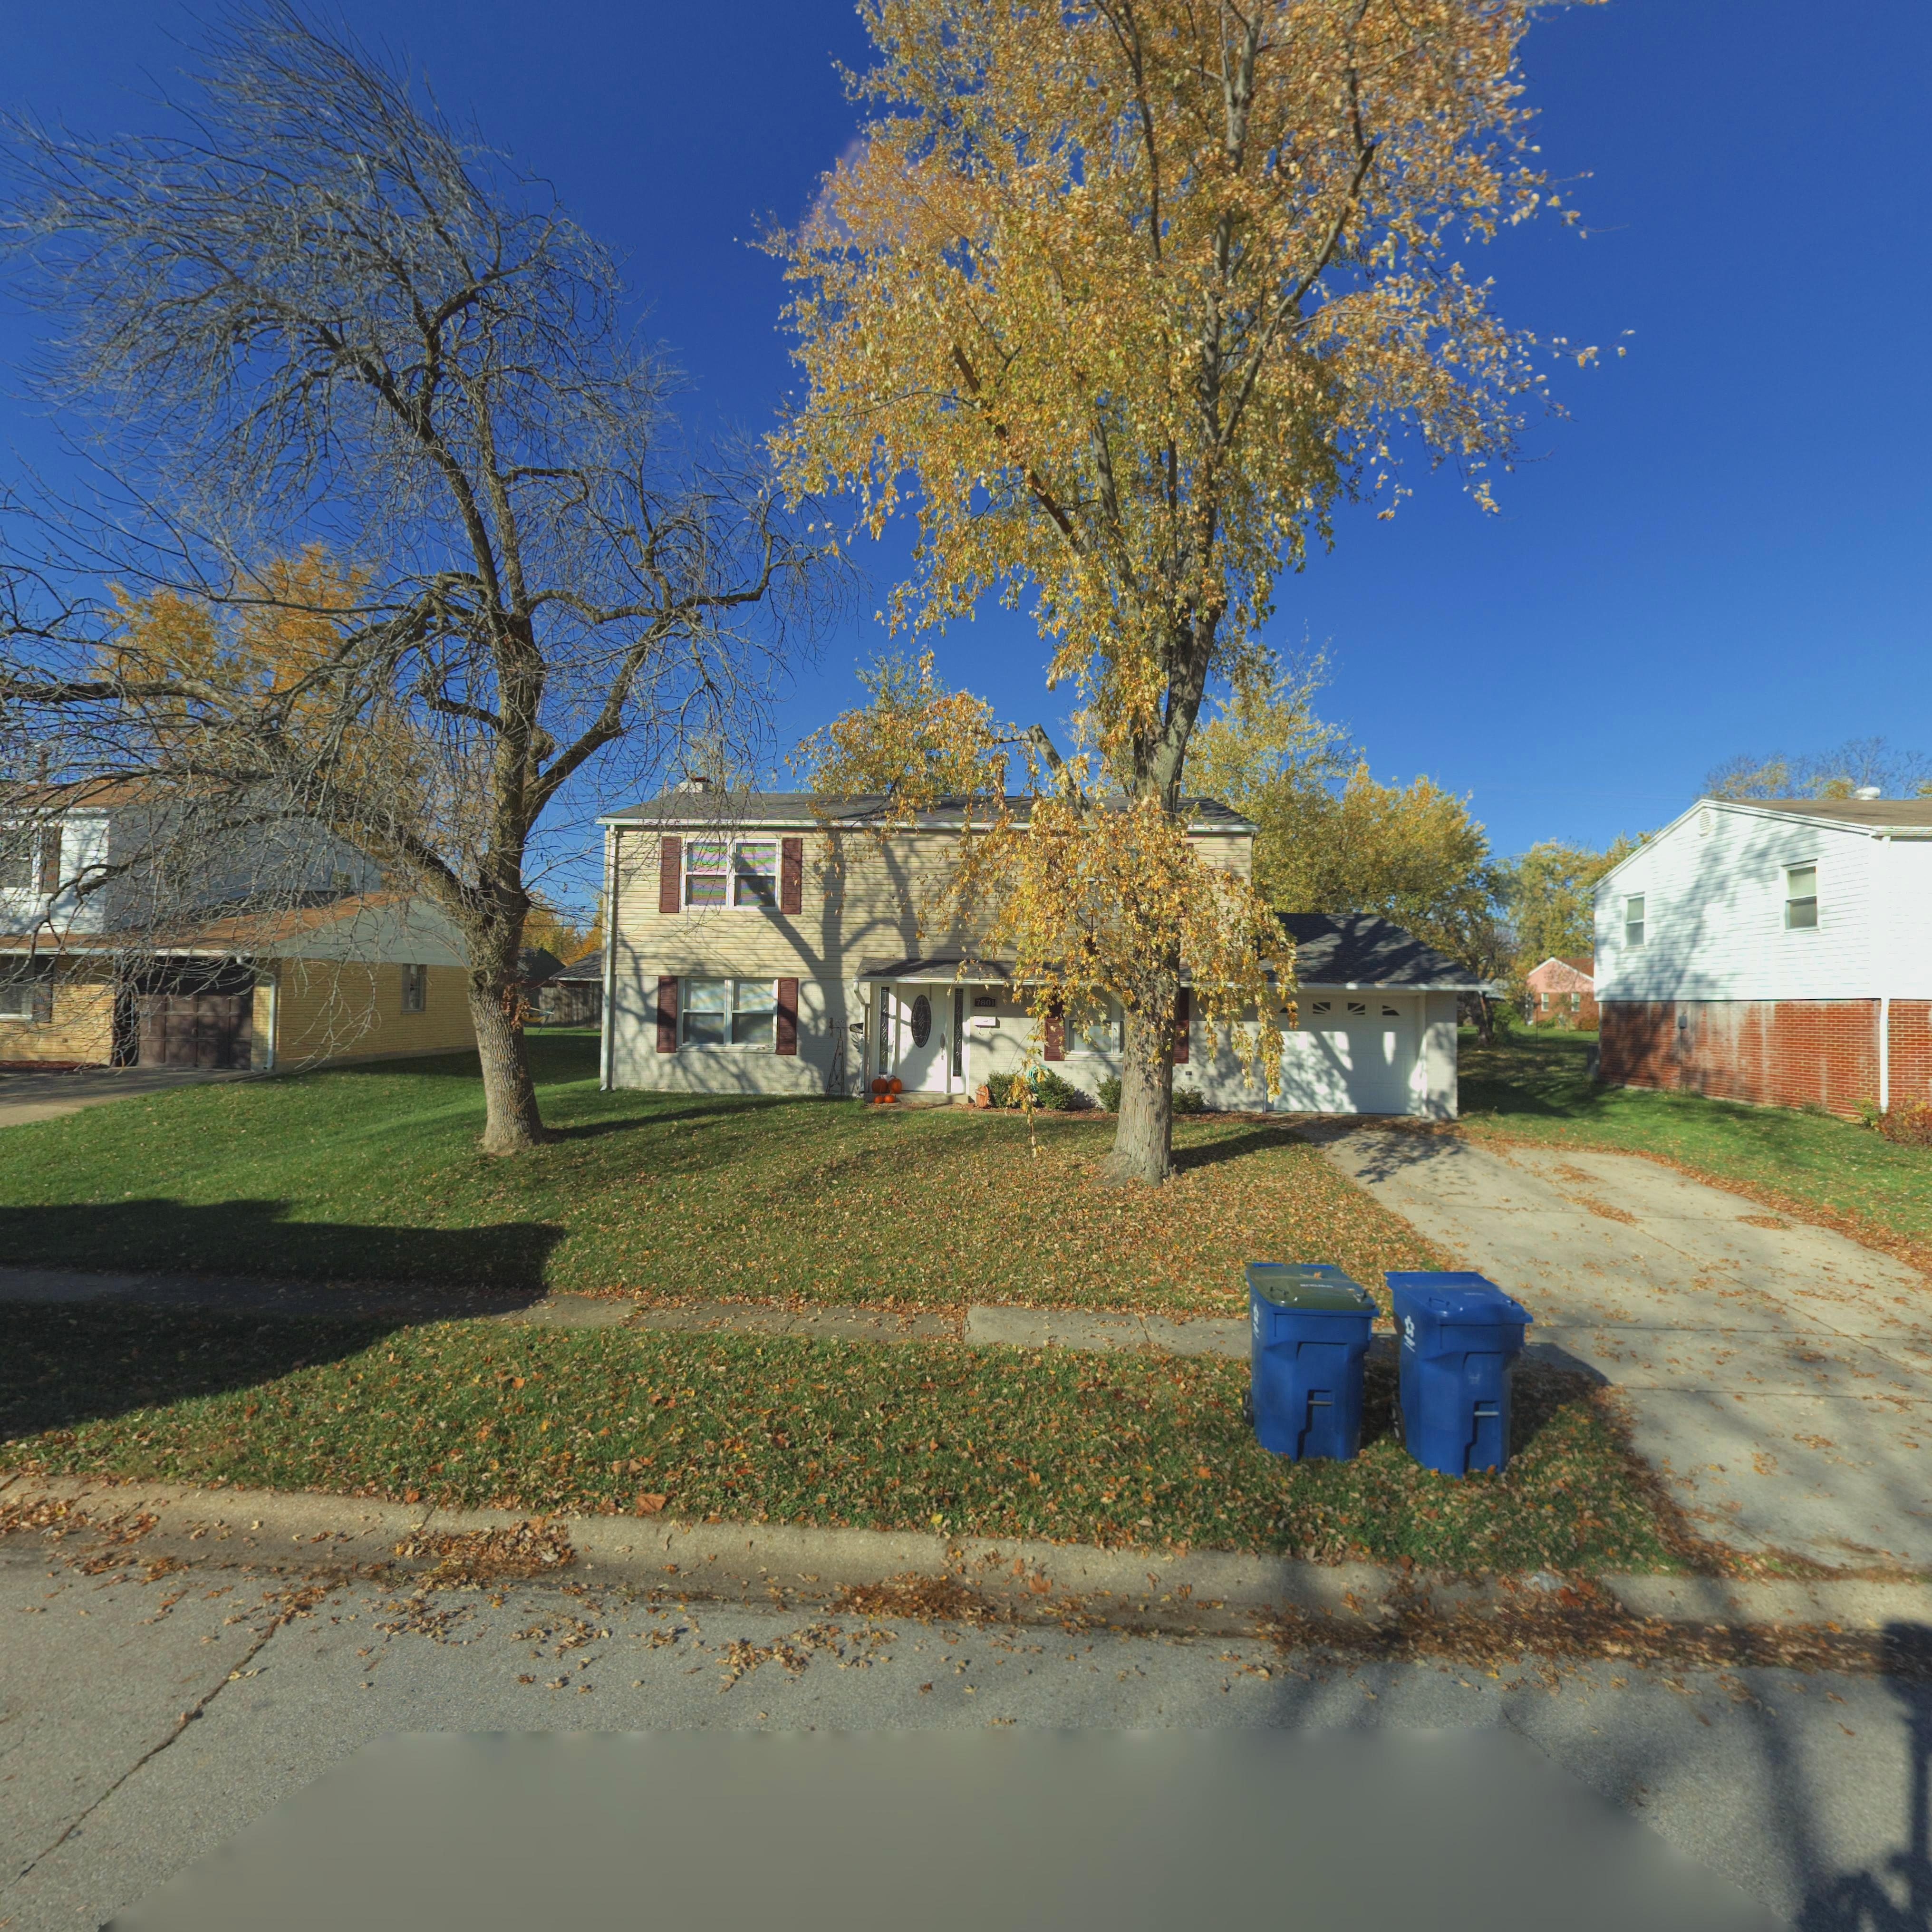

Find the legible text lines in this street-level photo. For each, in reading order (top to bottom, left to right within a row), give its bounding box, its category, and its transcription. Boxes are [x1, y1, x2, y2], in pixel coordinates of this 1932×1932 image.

[976, 999, 995, 1006] StreetNumber: 7801